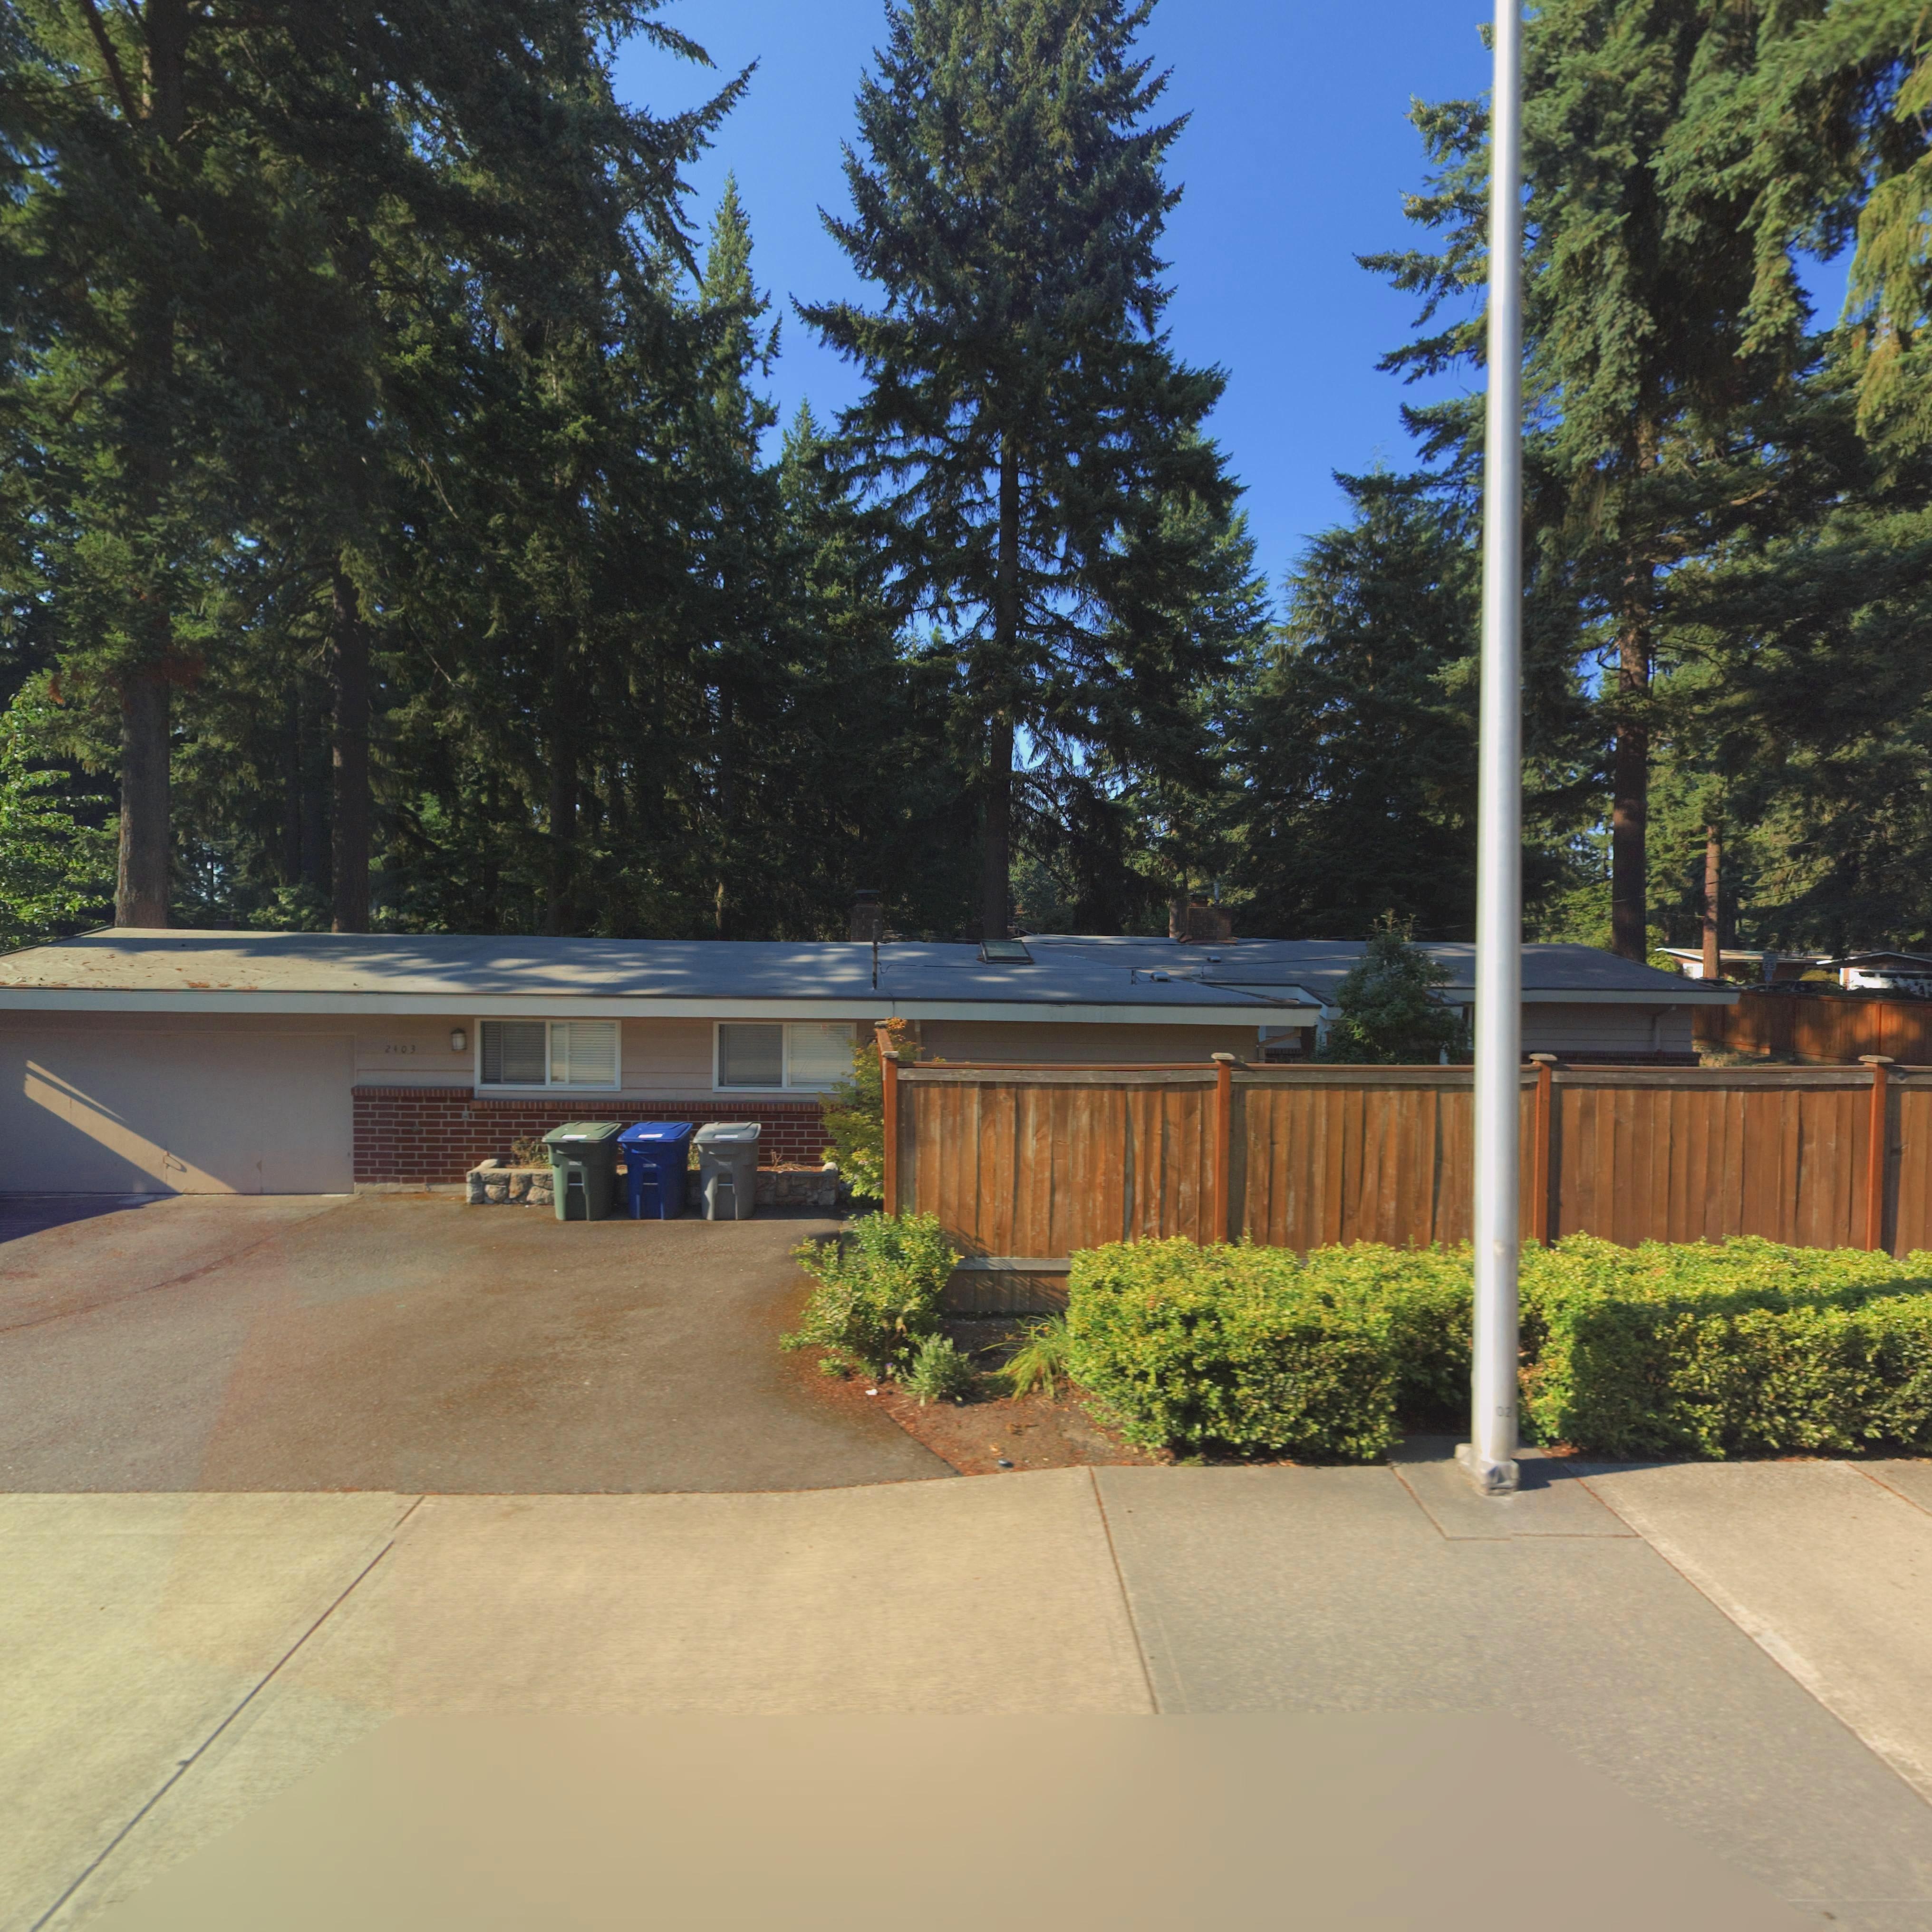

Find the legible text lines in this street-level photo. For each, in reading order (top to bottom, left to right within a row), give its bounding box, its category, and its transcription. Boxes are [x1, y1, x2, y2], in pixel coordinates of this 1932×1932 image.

[384, 1044, 418, 1053] StreetNumber: 2403